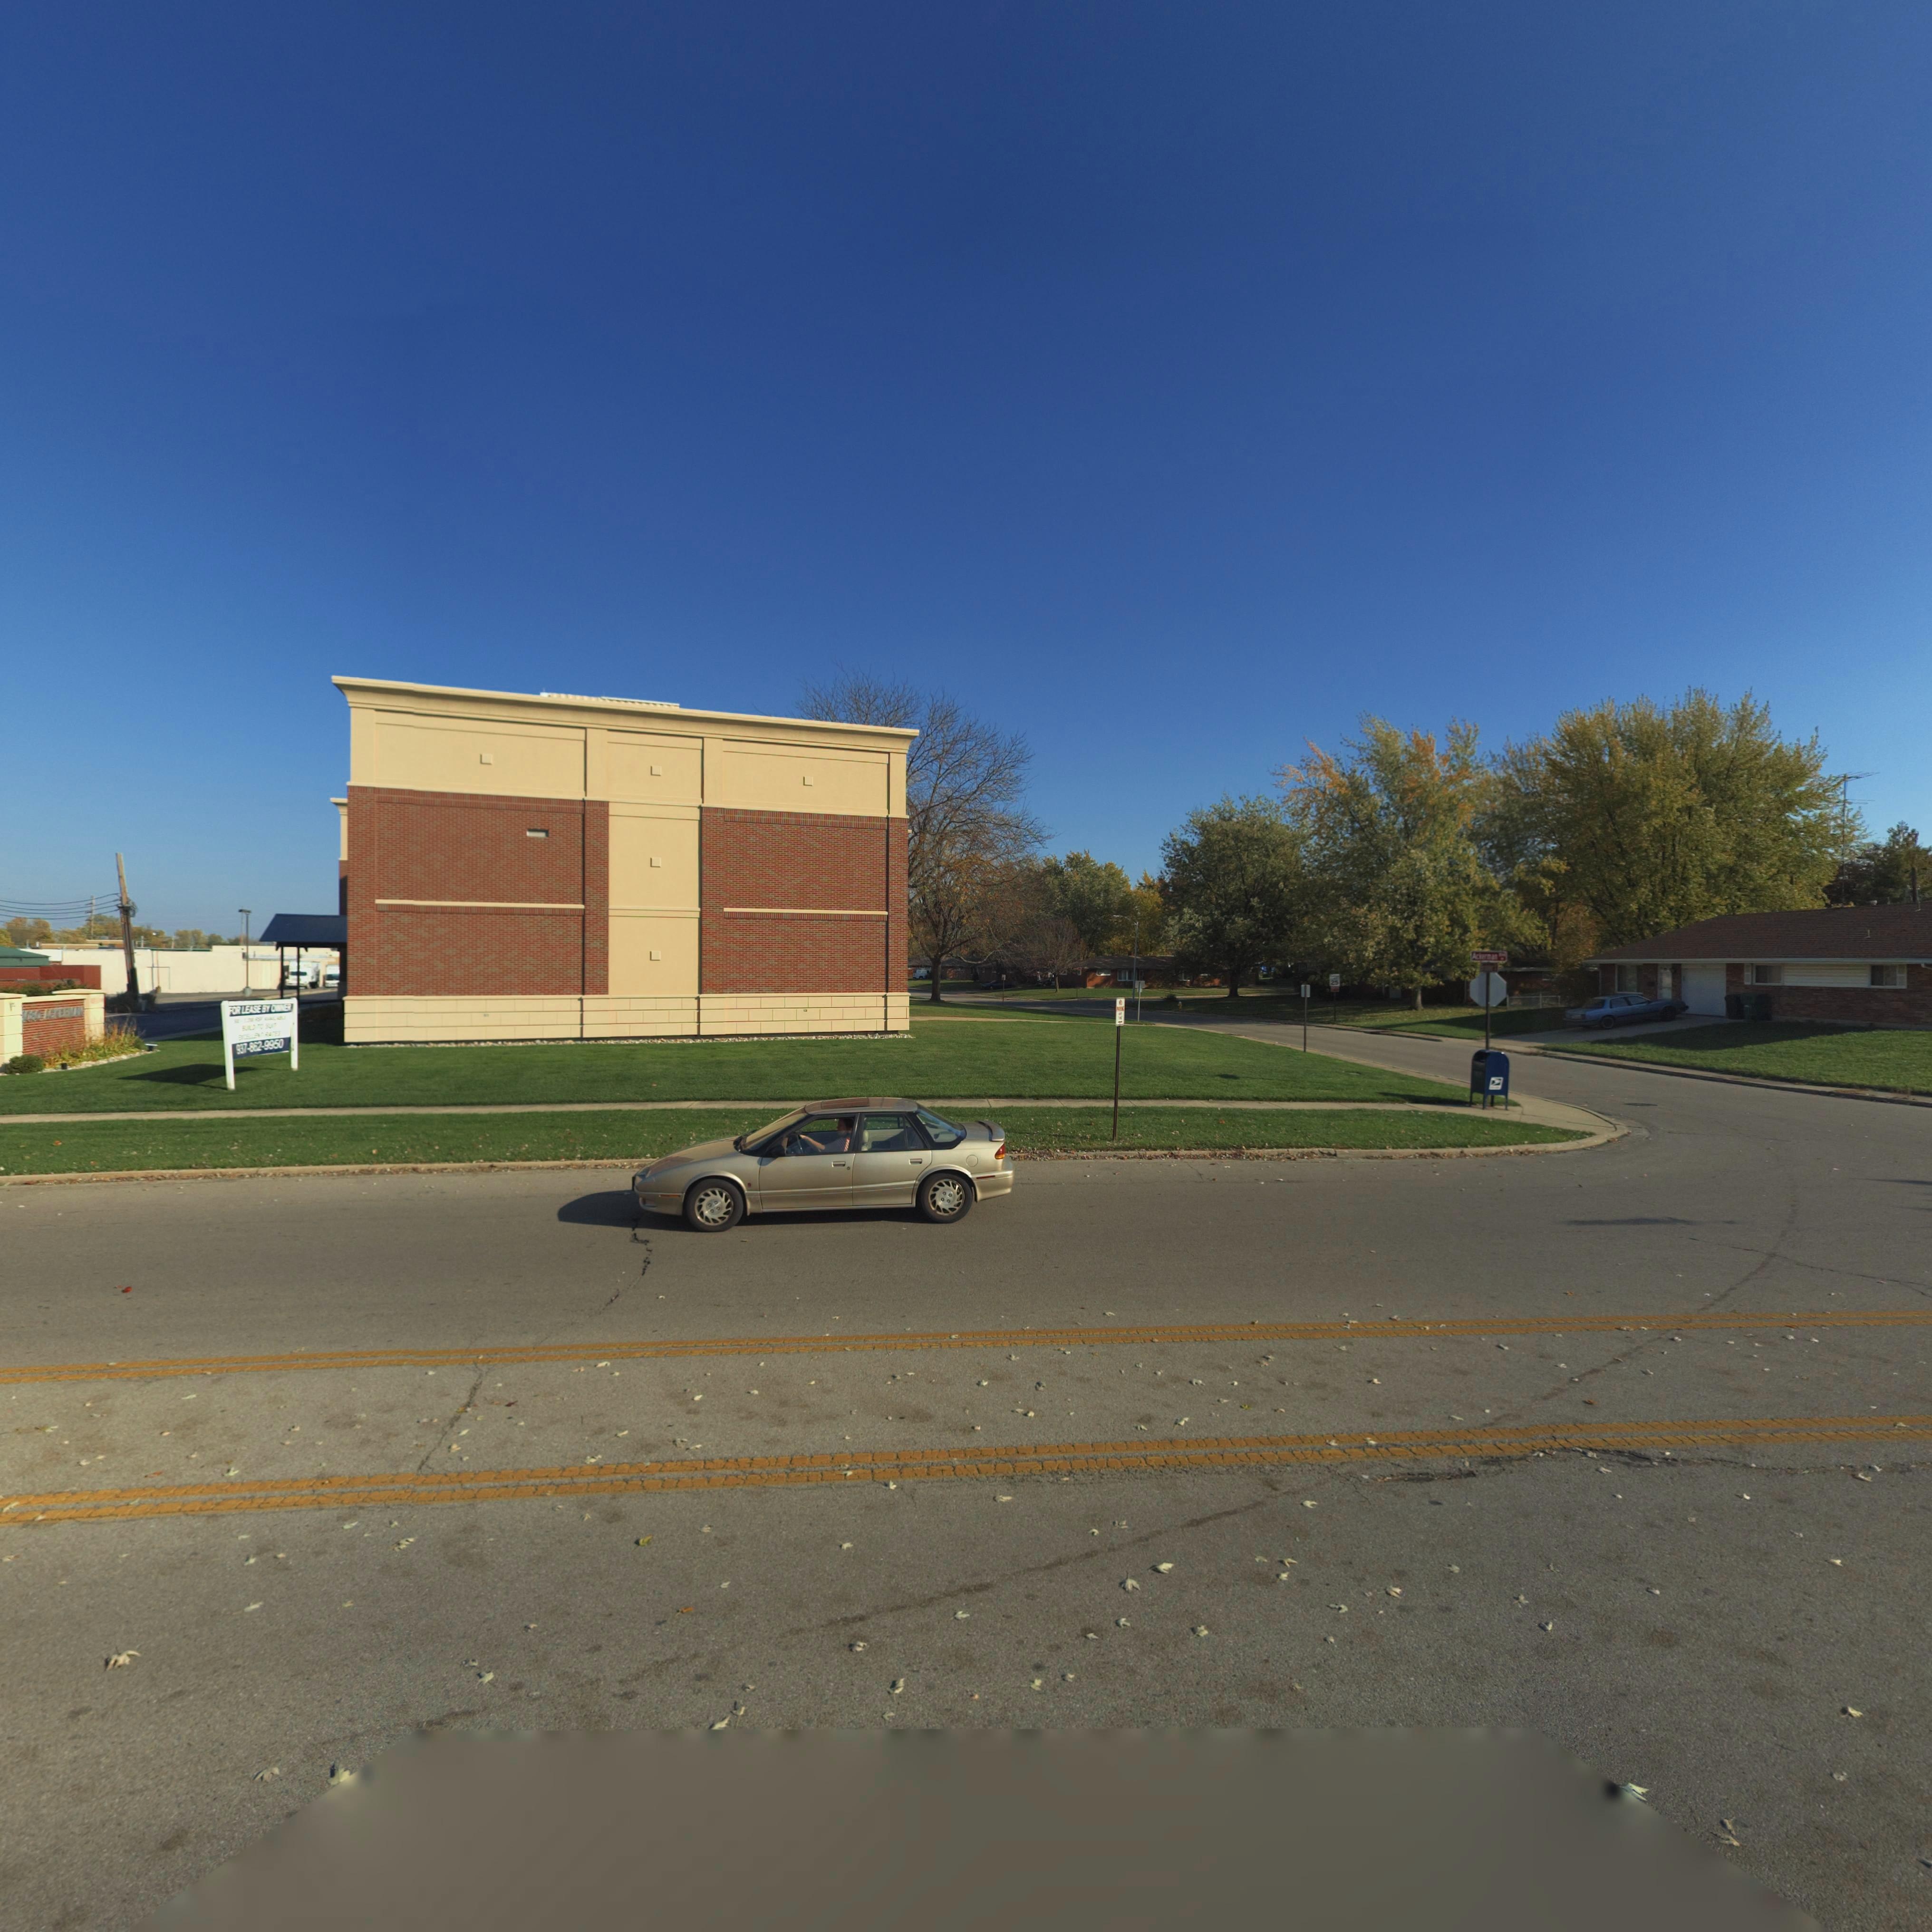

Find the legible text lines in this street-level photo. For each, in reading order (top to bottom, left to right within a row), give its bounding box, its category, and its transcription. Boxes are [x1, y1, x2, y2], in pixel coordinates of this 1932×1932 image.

[1470, 952, 1498, 960] StreetName: Ackerman
[30, 1009, 42, 1022] StreetNumber: 80